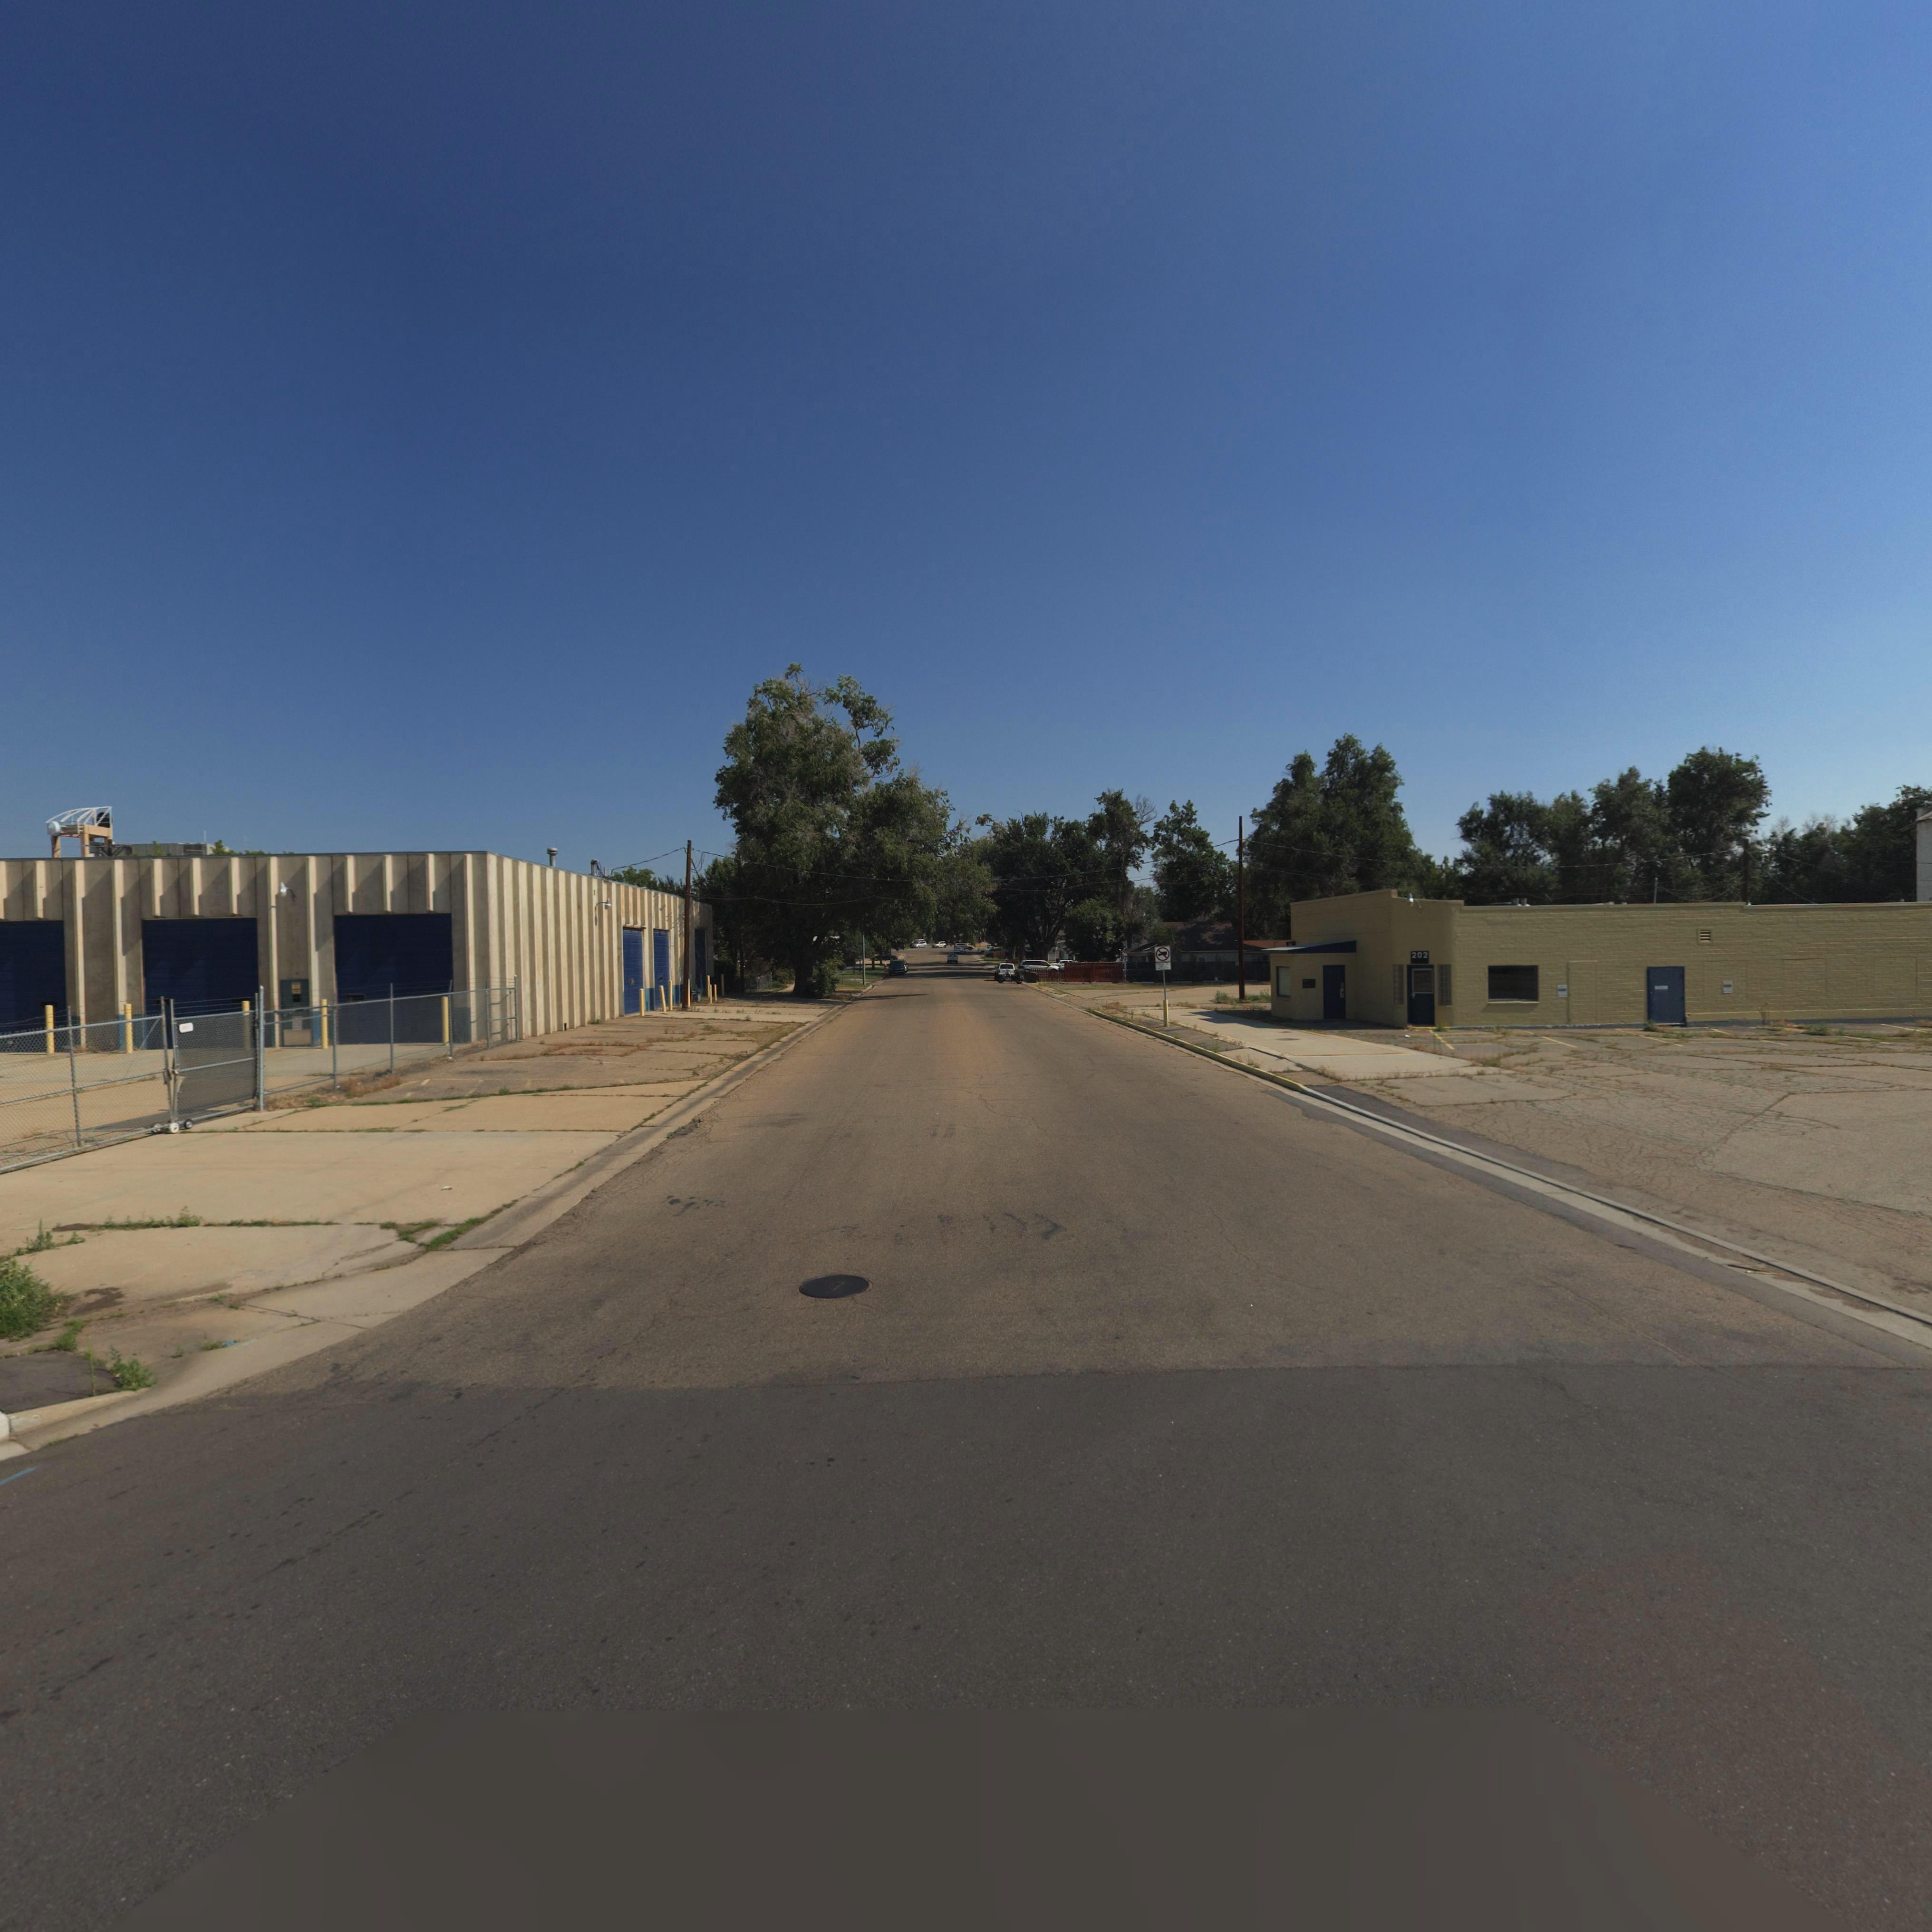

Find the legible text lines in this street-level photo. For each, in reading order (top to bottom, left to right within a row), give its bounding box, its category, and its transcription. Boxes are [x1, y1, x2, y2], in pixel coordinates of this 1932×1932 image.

[1411, 951, 1428, 958] StreetNumber: 202